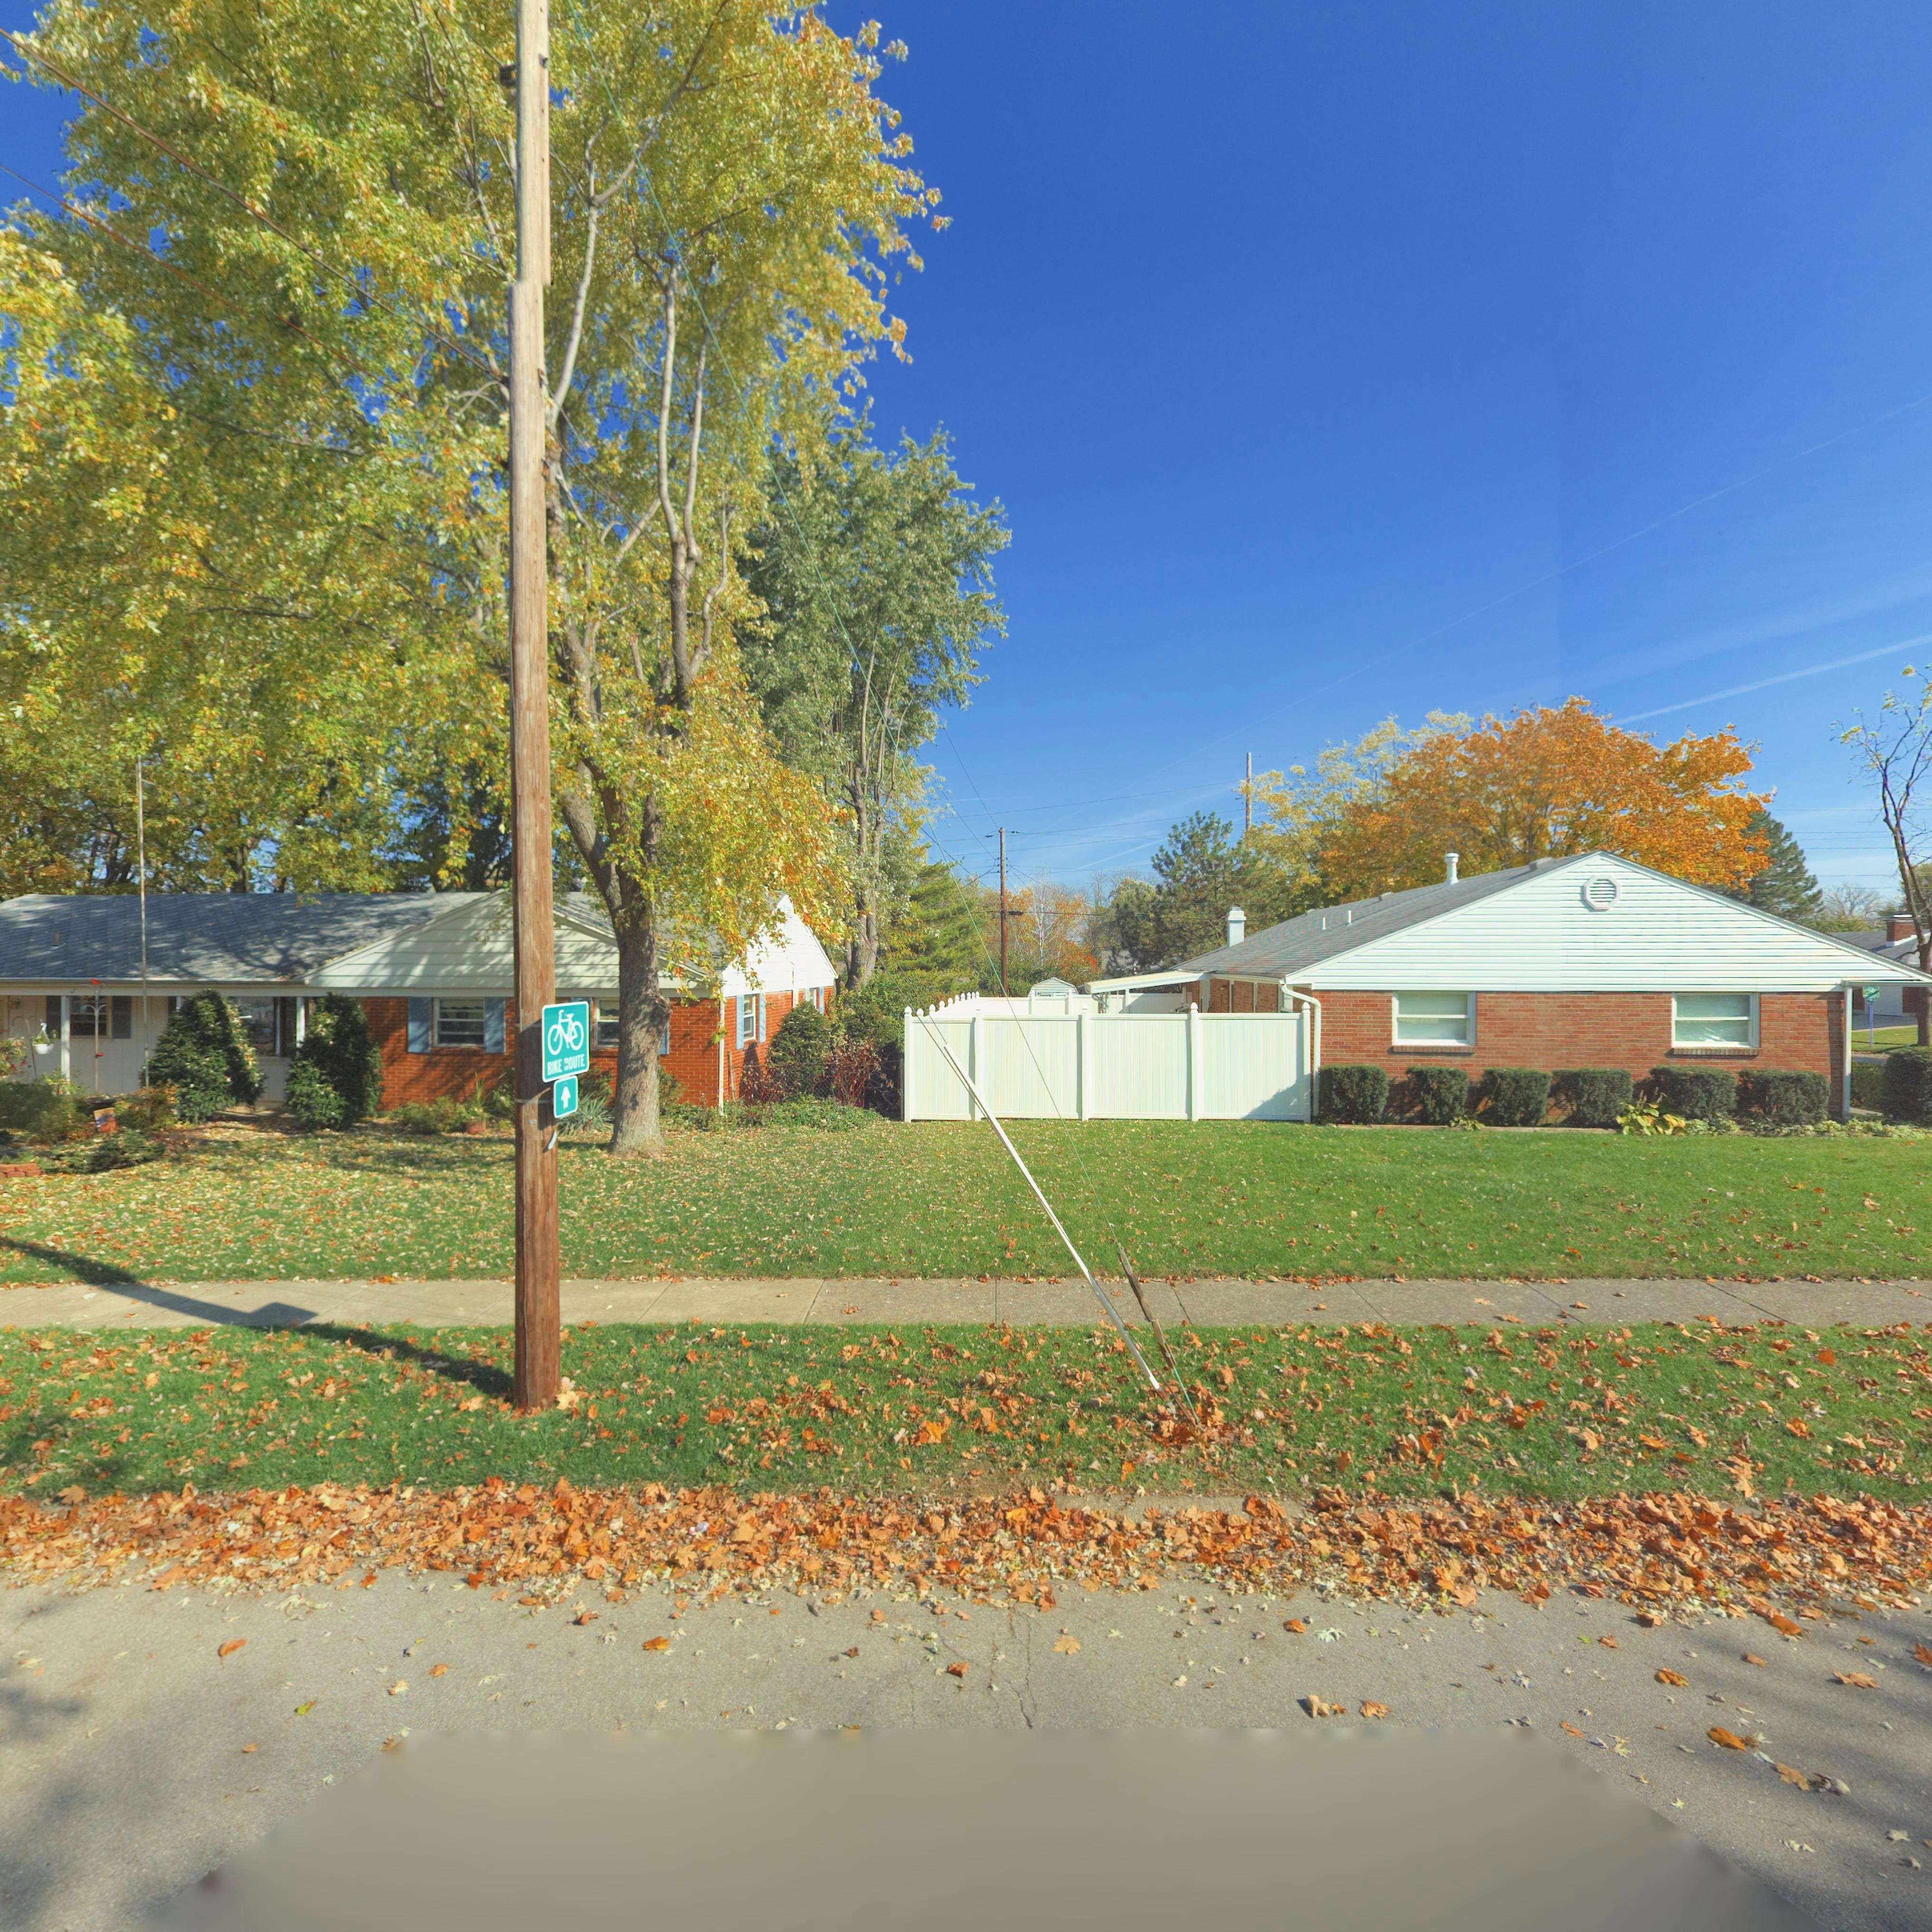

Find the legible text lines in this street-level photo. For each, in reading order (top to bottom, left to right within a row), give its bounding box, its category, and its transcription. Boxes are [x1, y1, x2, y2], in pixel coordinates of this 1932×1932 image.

[546, 1053, 586, 1078] None: B**E *OUTE